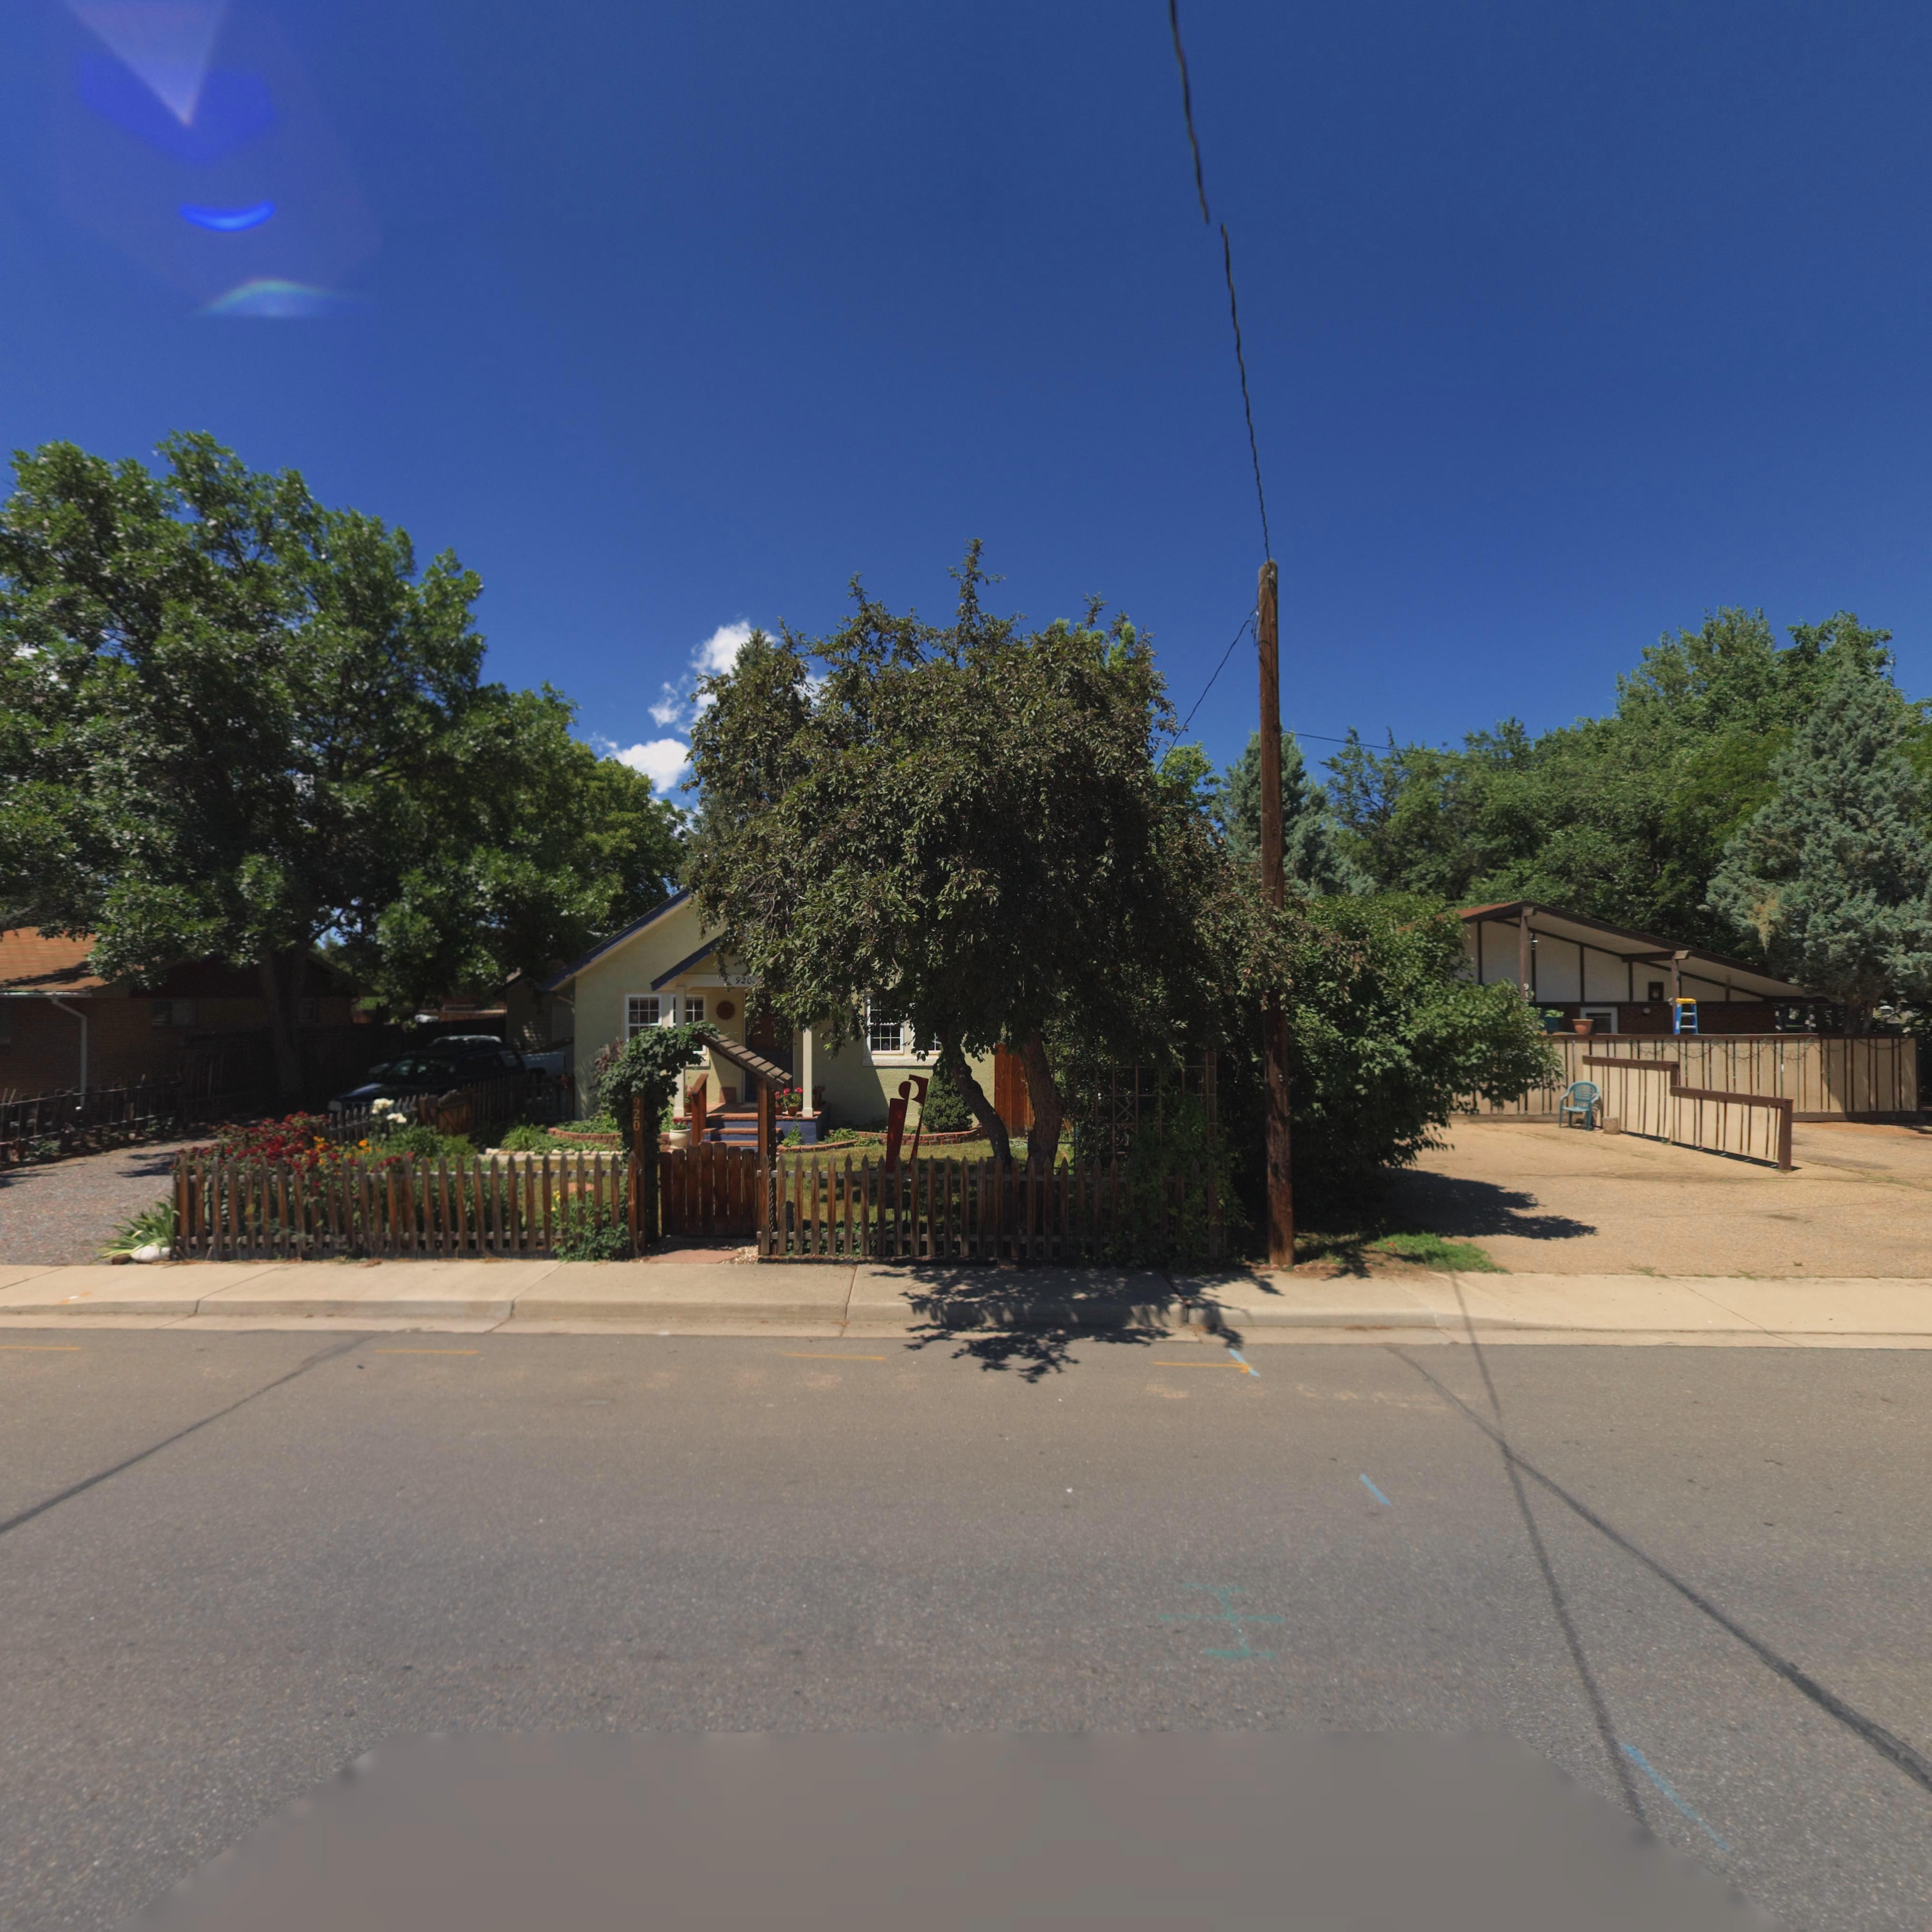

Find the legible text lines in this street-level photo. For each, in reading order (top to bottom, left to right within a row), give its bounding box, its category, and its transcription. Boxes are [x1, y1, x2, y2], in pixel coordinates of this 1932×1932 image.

[735, 976, 752, 984] StreetNumber: 920
[1523, 983, 1530, 1006] StreetNumber: 91*
[631, 1096, 641, 1132] StreetNumber: 920